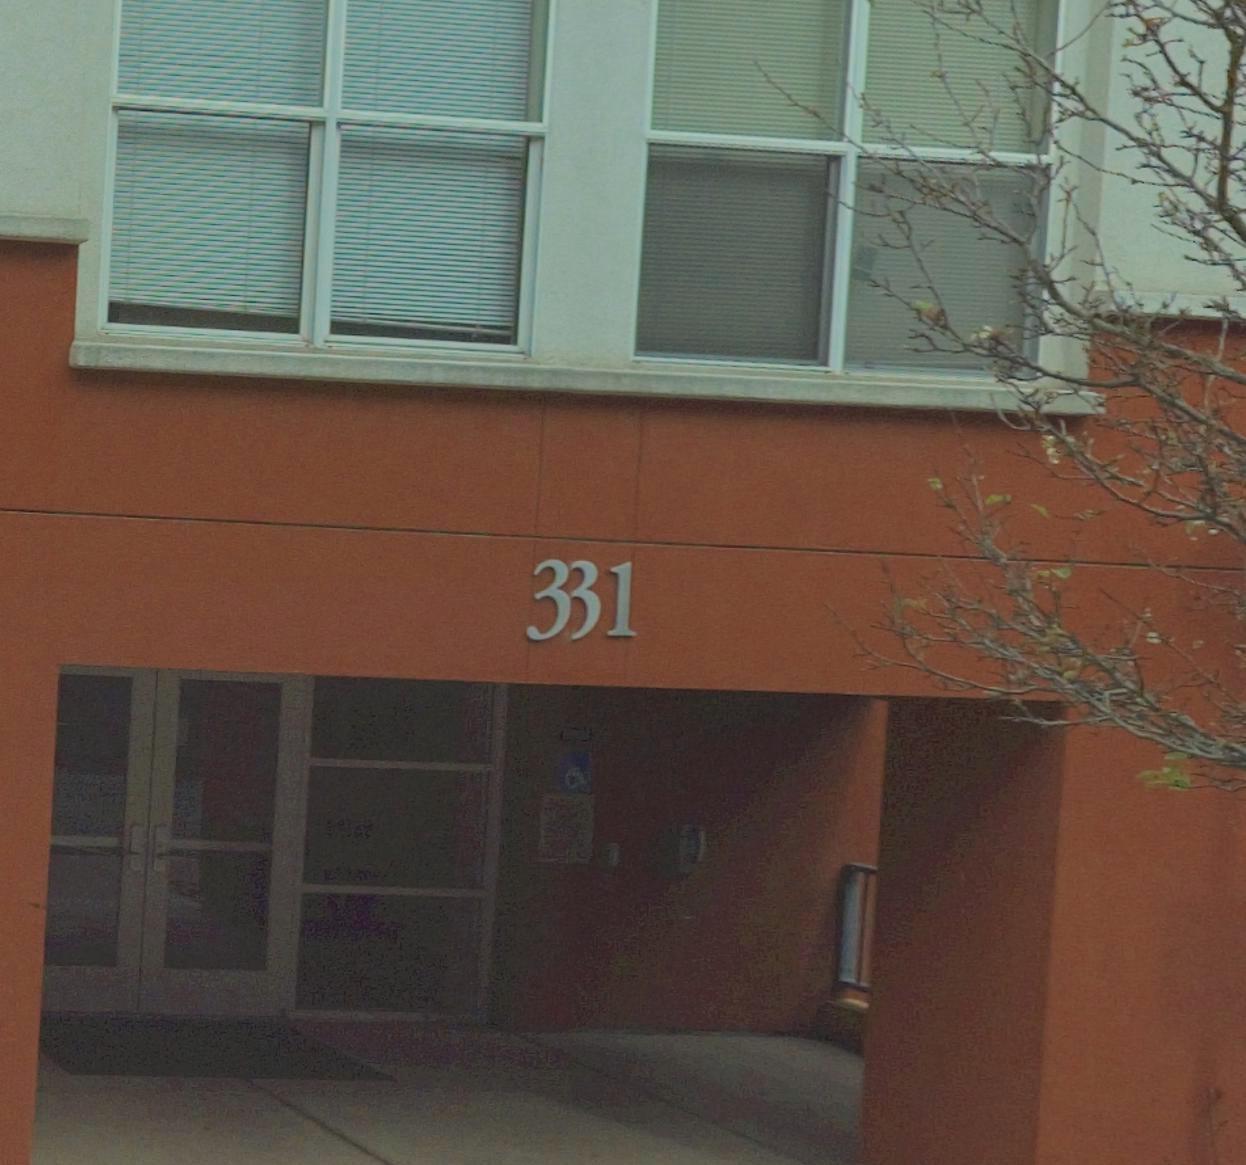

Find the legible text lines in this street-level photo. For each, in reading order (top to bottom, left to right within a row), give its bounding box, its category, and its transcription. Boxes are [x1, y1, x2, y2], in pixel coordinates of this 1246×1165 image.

[524, 558, 639, 642] StreetNumber: 331